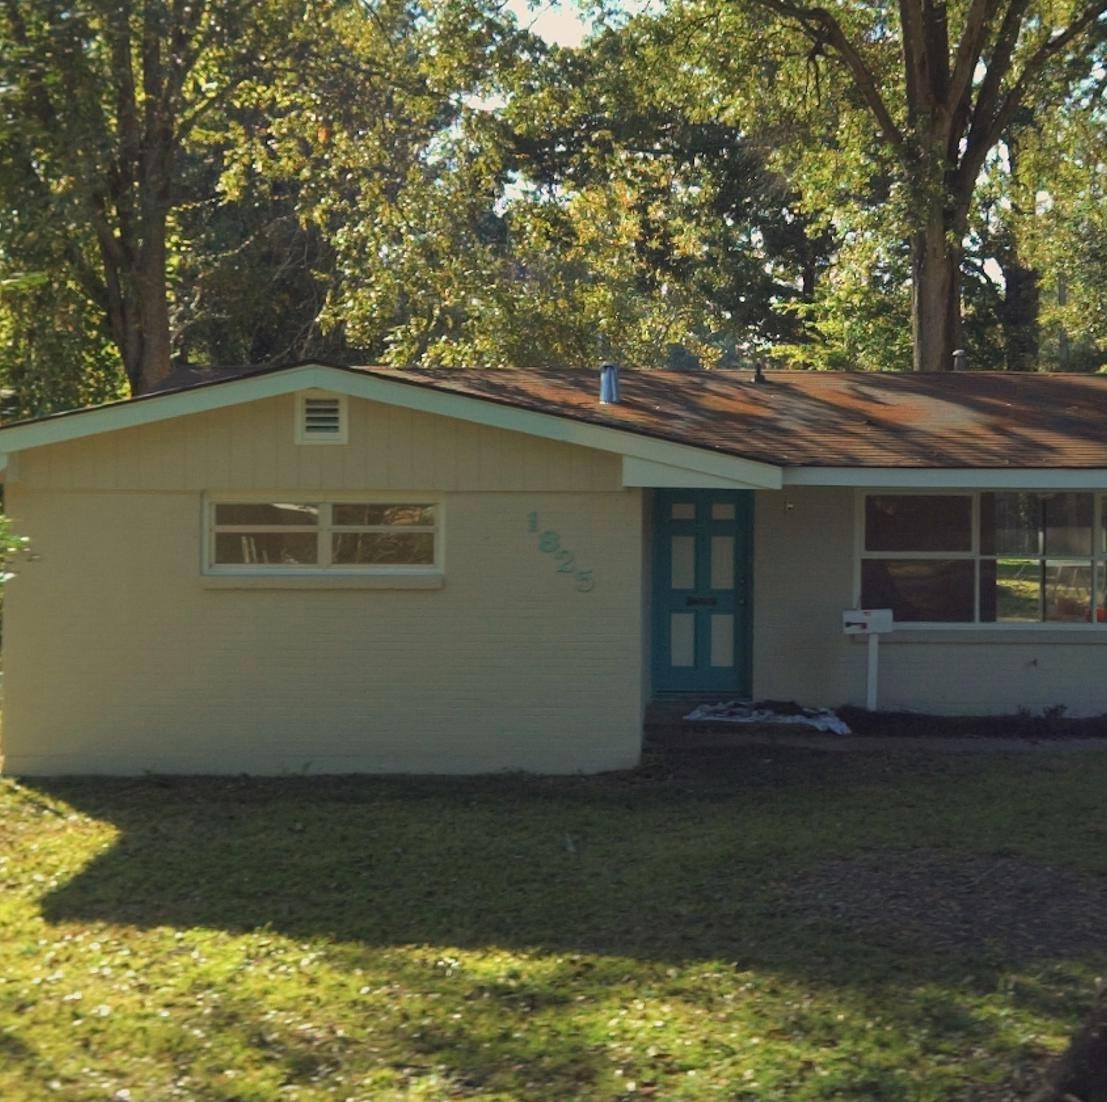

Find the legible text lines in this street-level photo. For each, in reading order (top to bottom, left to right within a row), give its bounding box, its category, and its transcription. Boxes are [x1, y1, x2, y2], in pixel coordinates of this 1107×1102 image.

[525, 510, 595, 593] StreetNumber: 1825